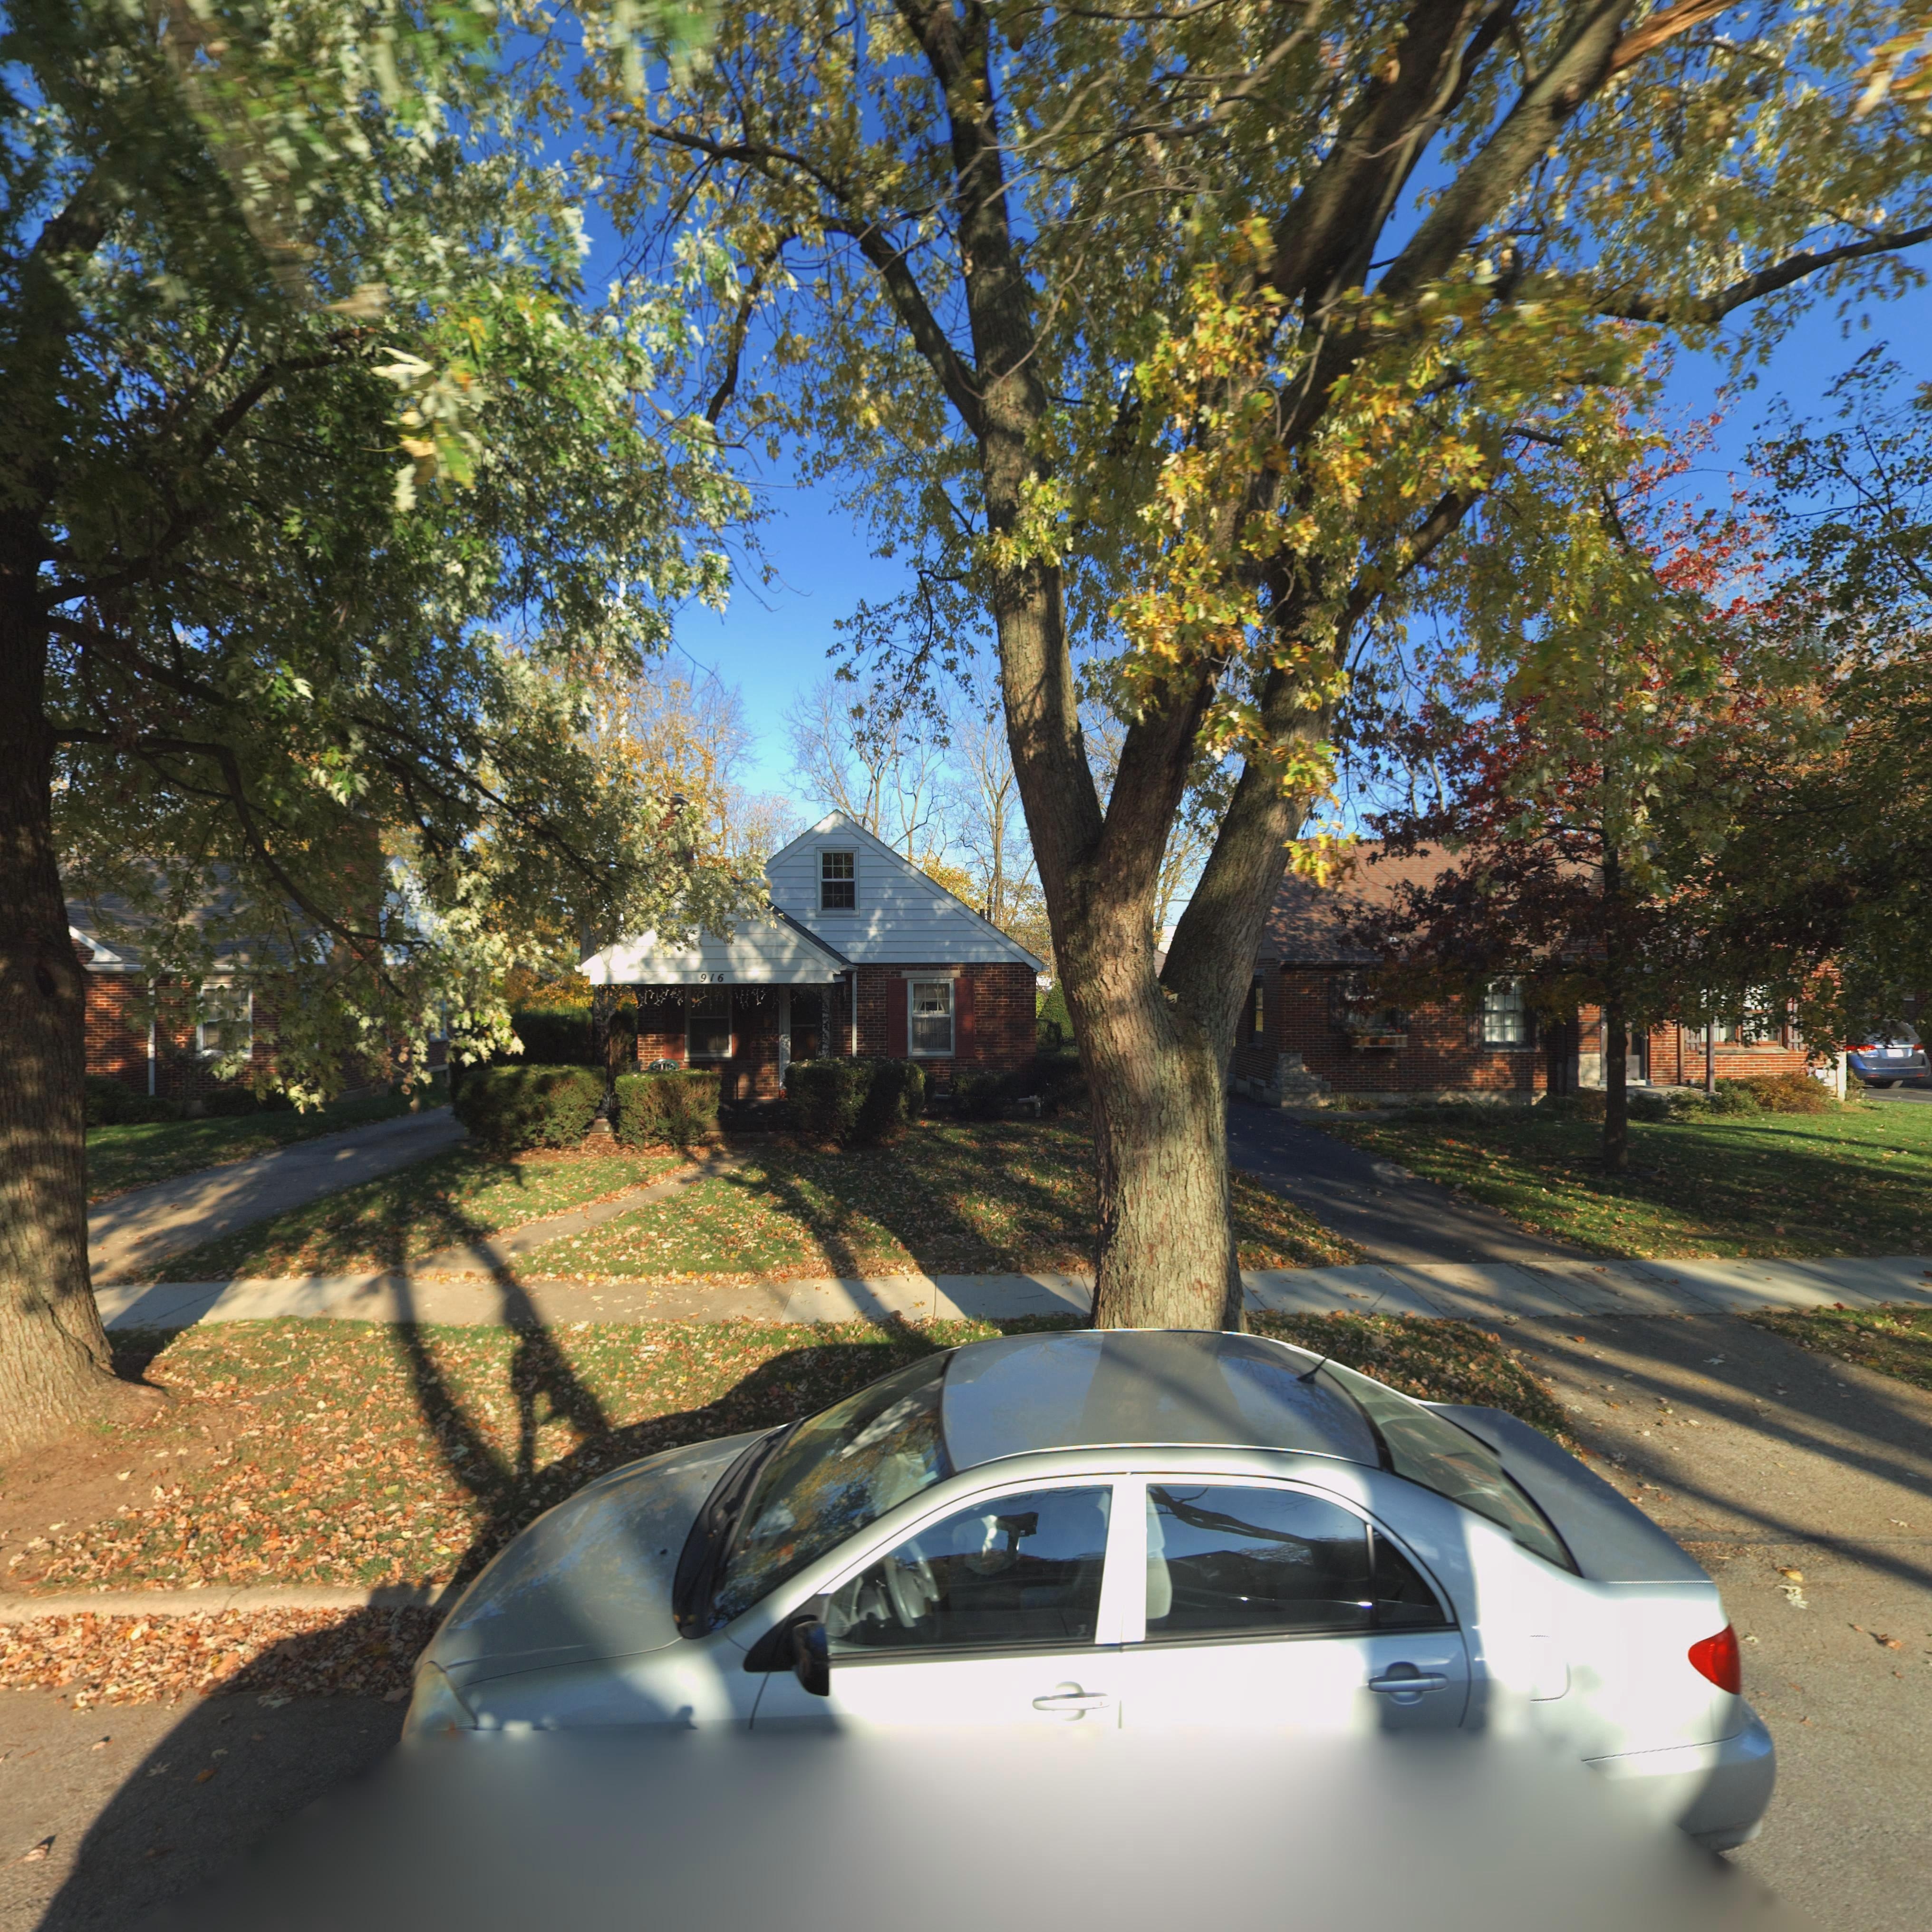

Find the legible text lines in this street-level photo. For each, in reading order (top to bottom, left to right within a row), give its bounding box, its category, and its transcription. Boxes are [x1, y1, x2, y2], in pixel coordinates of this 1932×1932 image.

[699, 972, 724, 983] StreetNumber: 916